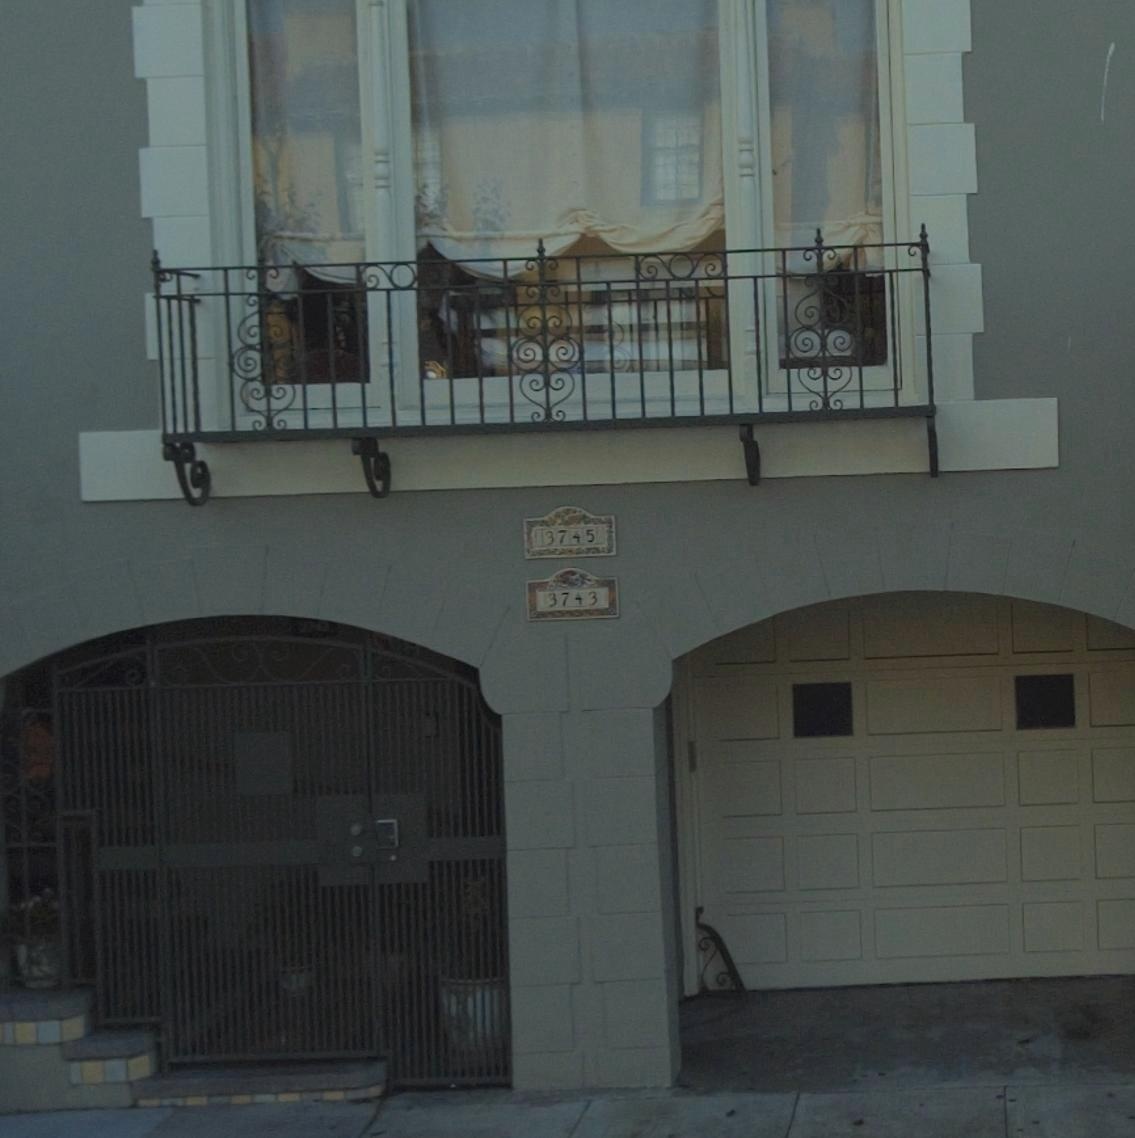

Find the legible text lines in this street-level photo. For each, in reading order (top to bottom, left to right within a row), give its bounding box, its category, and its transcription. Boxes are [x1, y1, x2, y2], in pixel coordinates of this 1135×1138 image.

[544, 526, 597, 548] StreetNumber: 3745
[545, 588, 602, 611] StreetNumber: 3743